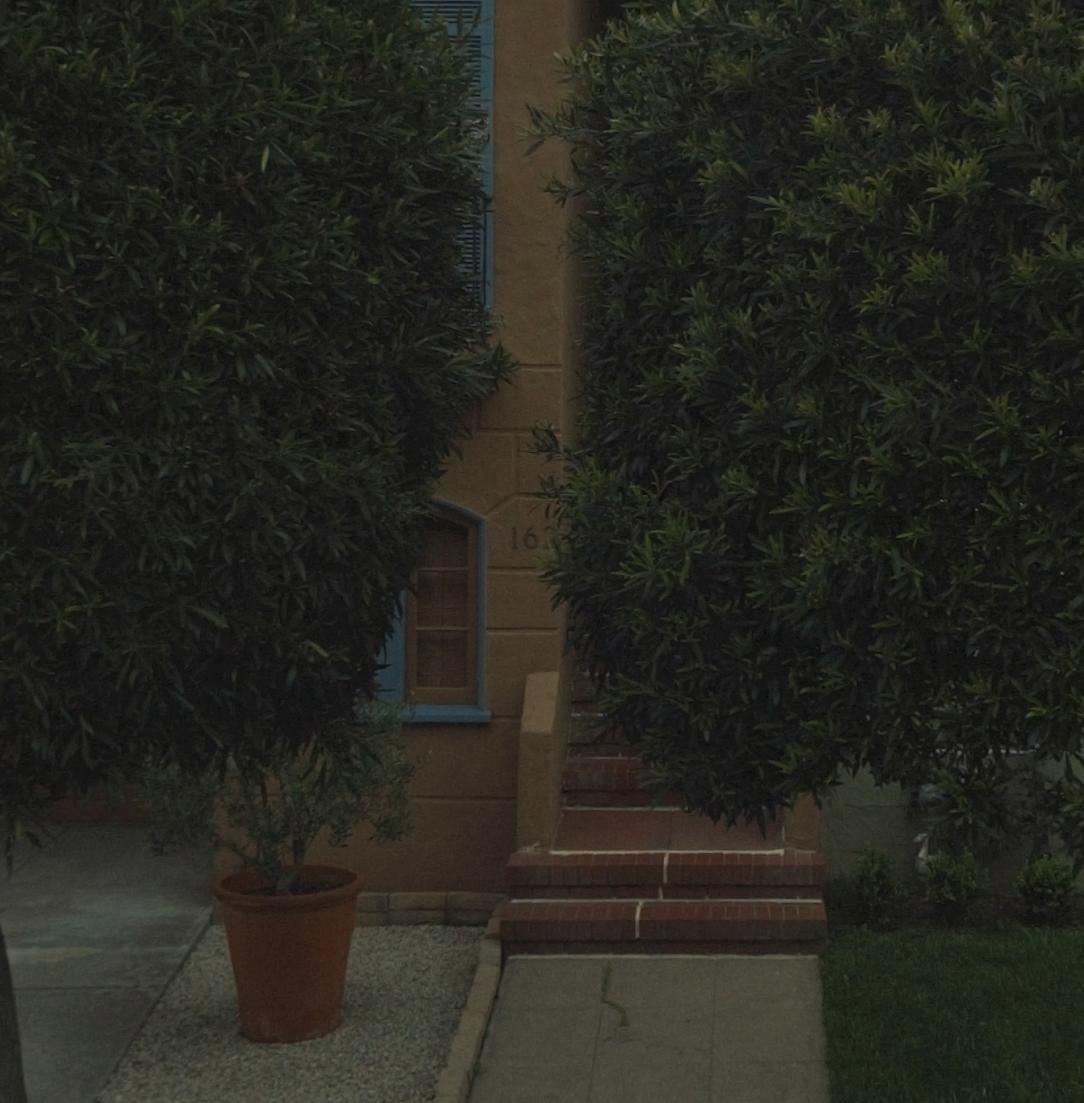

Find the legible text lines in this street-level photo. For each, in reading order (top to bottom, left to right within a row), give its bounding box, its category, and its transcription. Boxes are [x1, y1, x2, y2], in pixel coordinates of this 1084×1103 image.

[509, 523, 562, 551] StreetNumber: 162